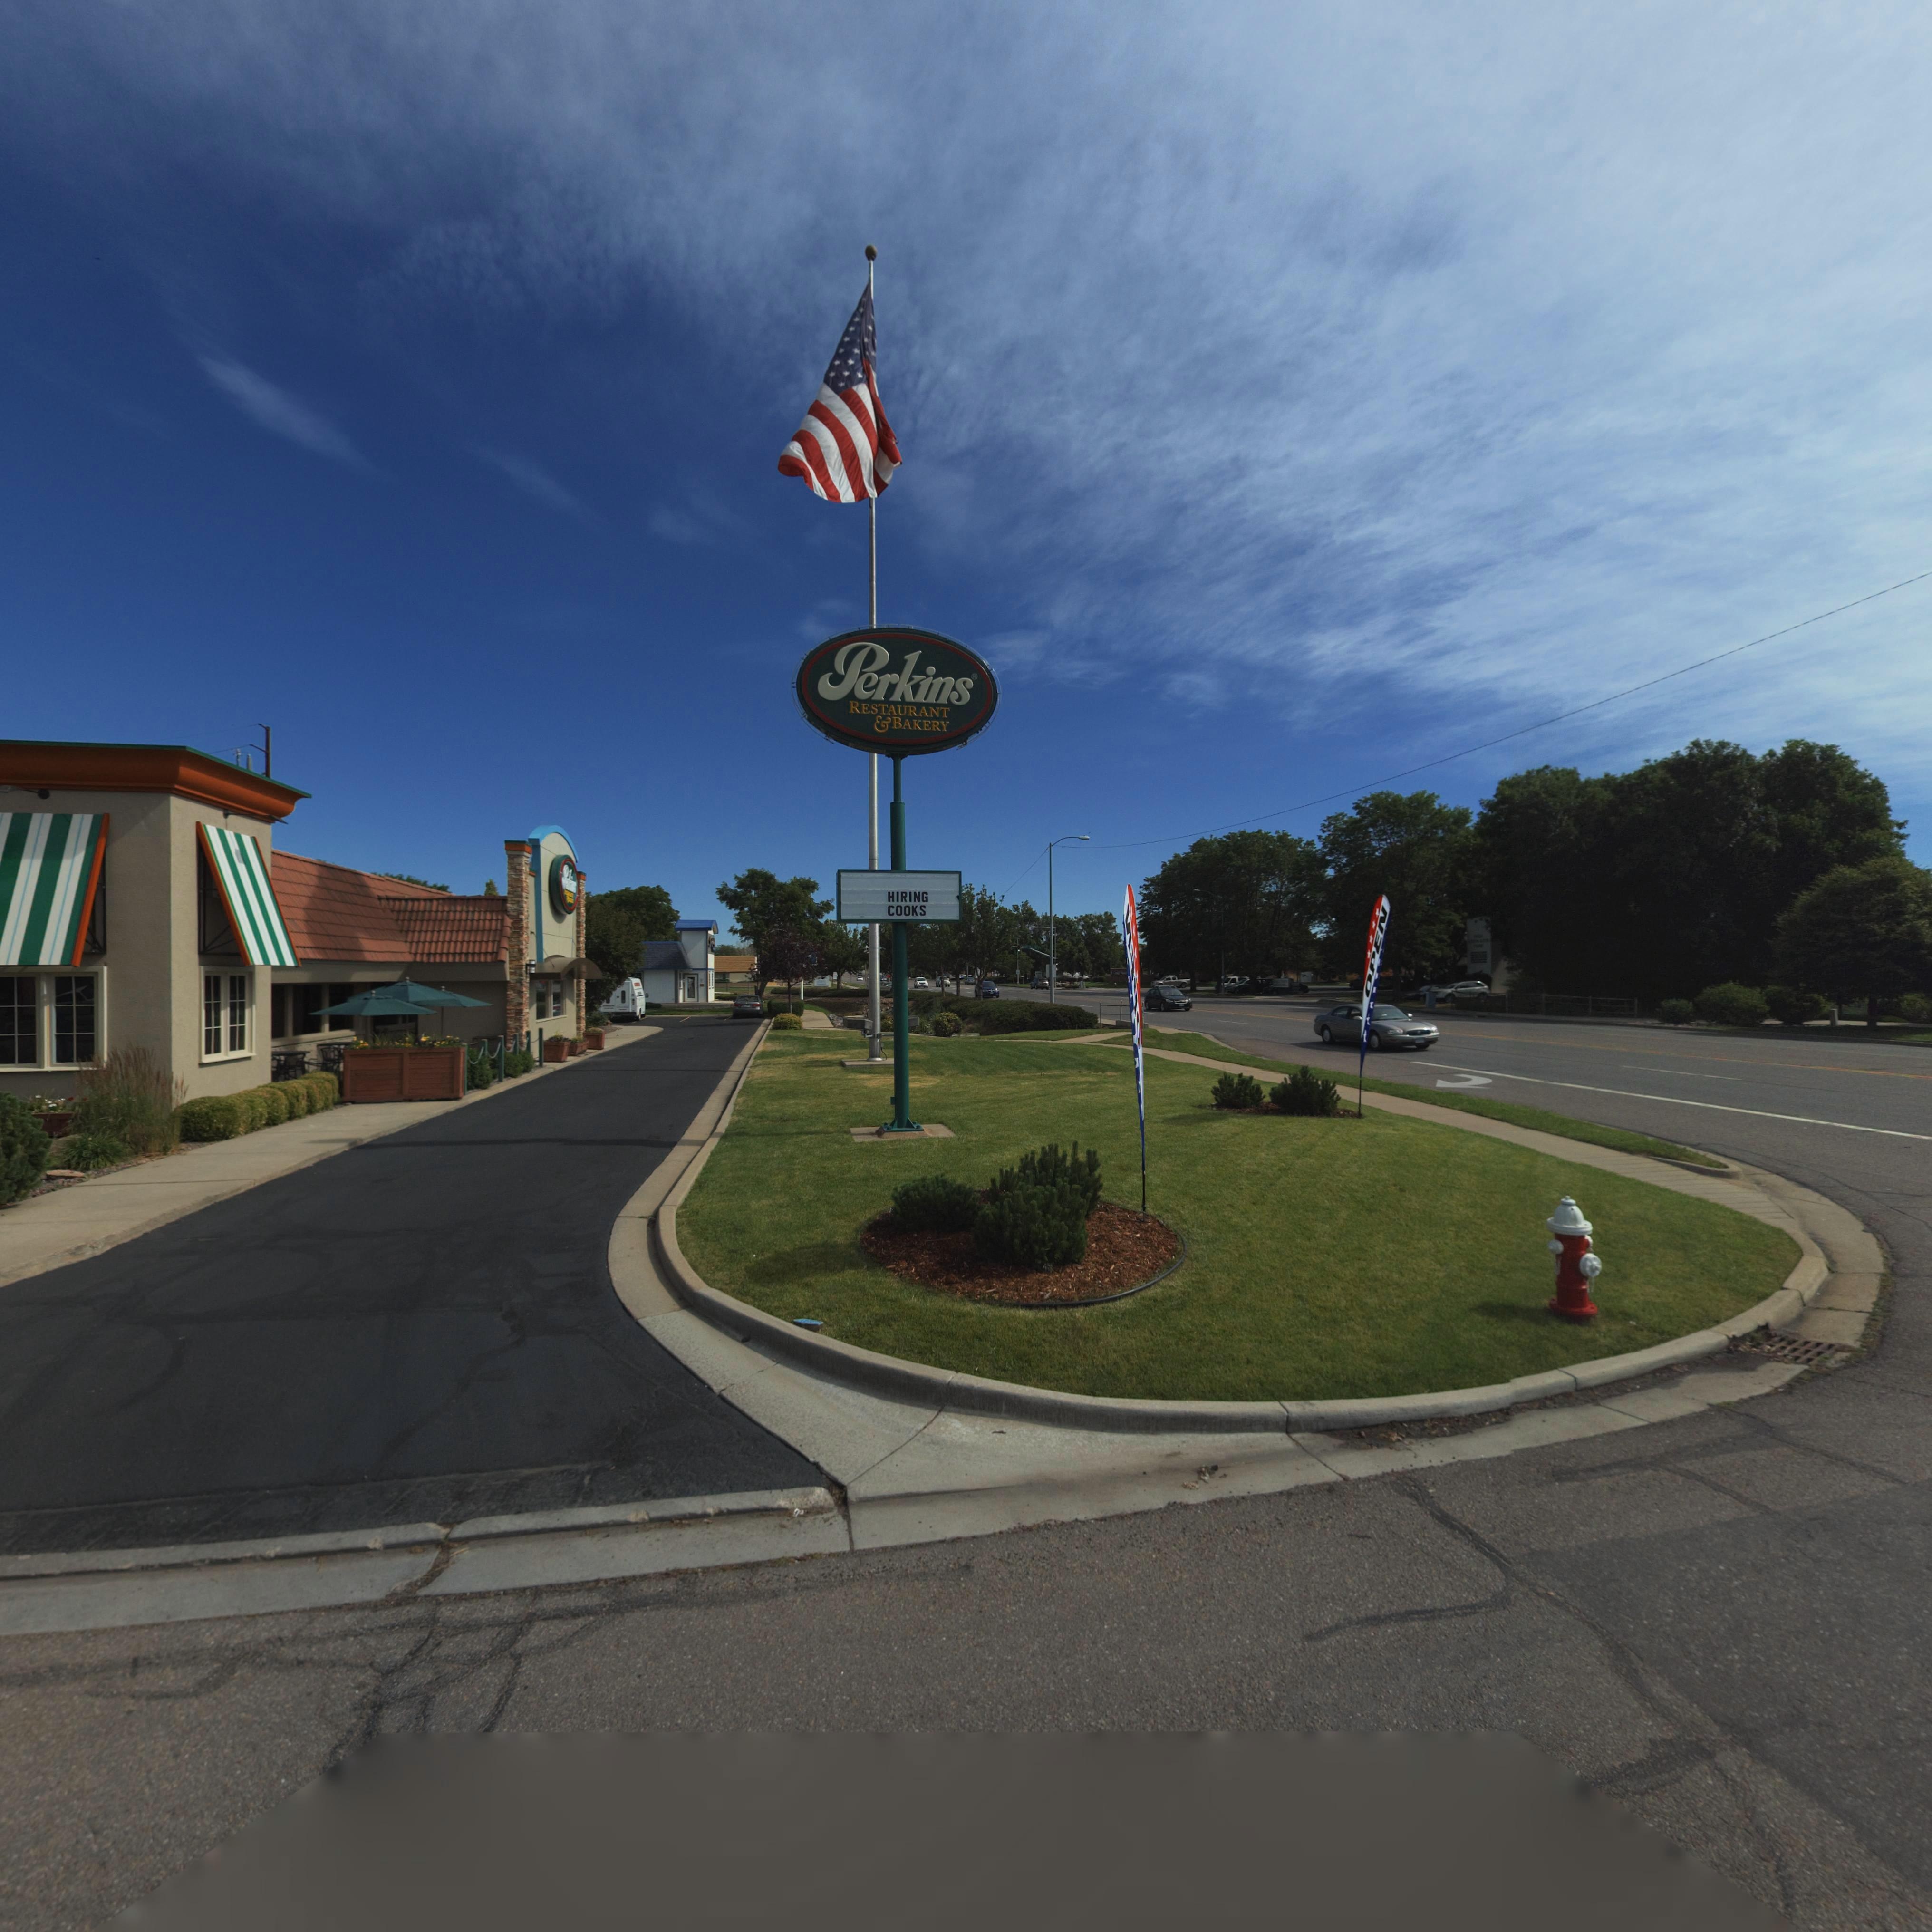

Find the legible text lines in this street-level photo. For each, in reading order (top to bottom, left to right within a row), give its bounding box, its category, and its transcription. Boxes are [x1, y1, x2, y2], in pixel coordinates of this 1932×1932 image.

[816, 641, 974, 706] BusinessName: Perkins
[849, 700, 950, 719] BusinessName: RESTAURANT
[873, 715, 950, 734] BusinessName: & BAKERY
[561, 863, 577, 893] BusinessName: P***s